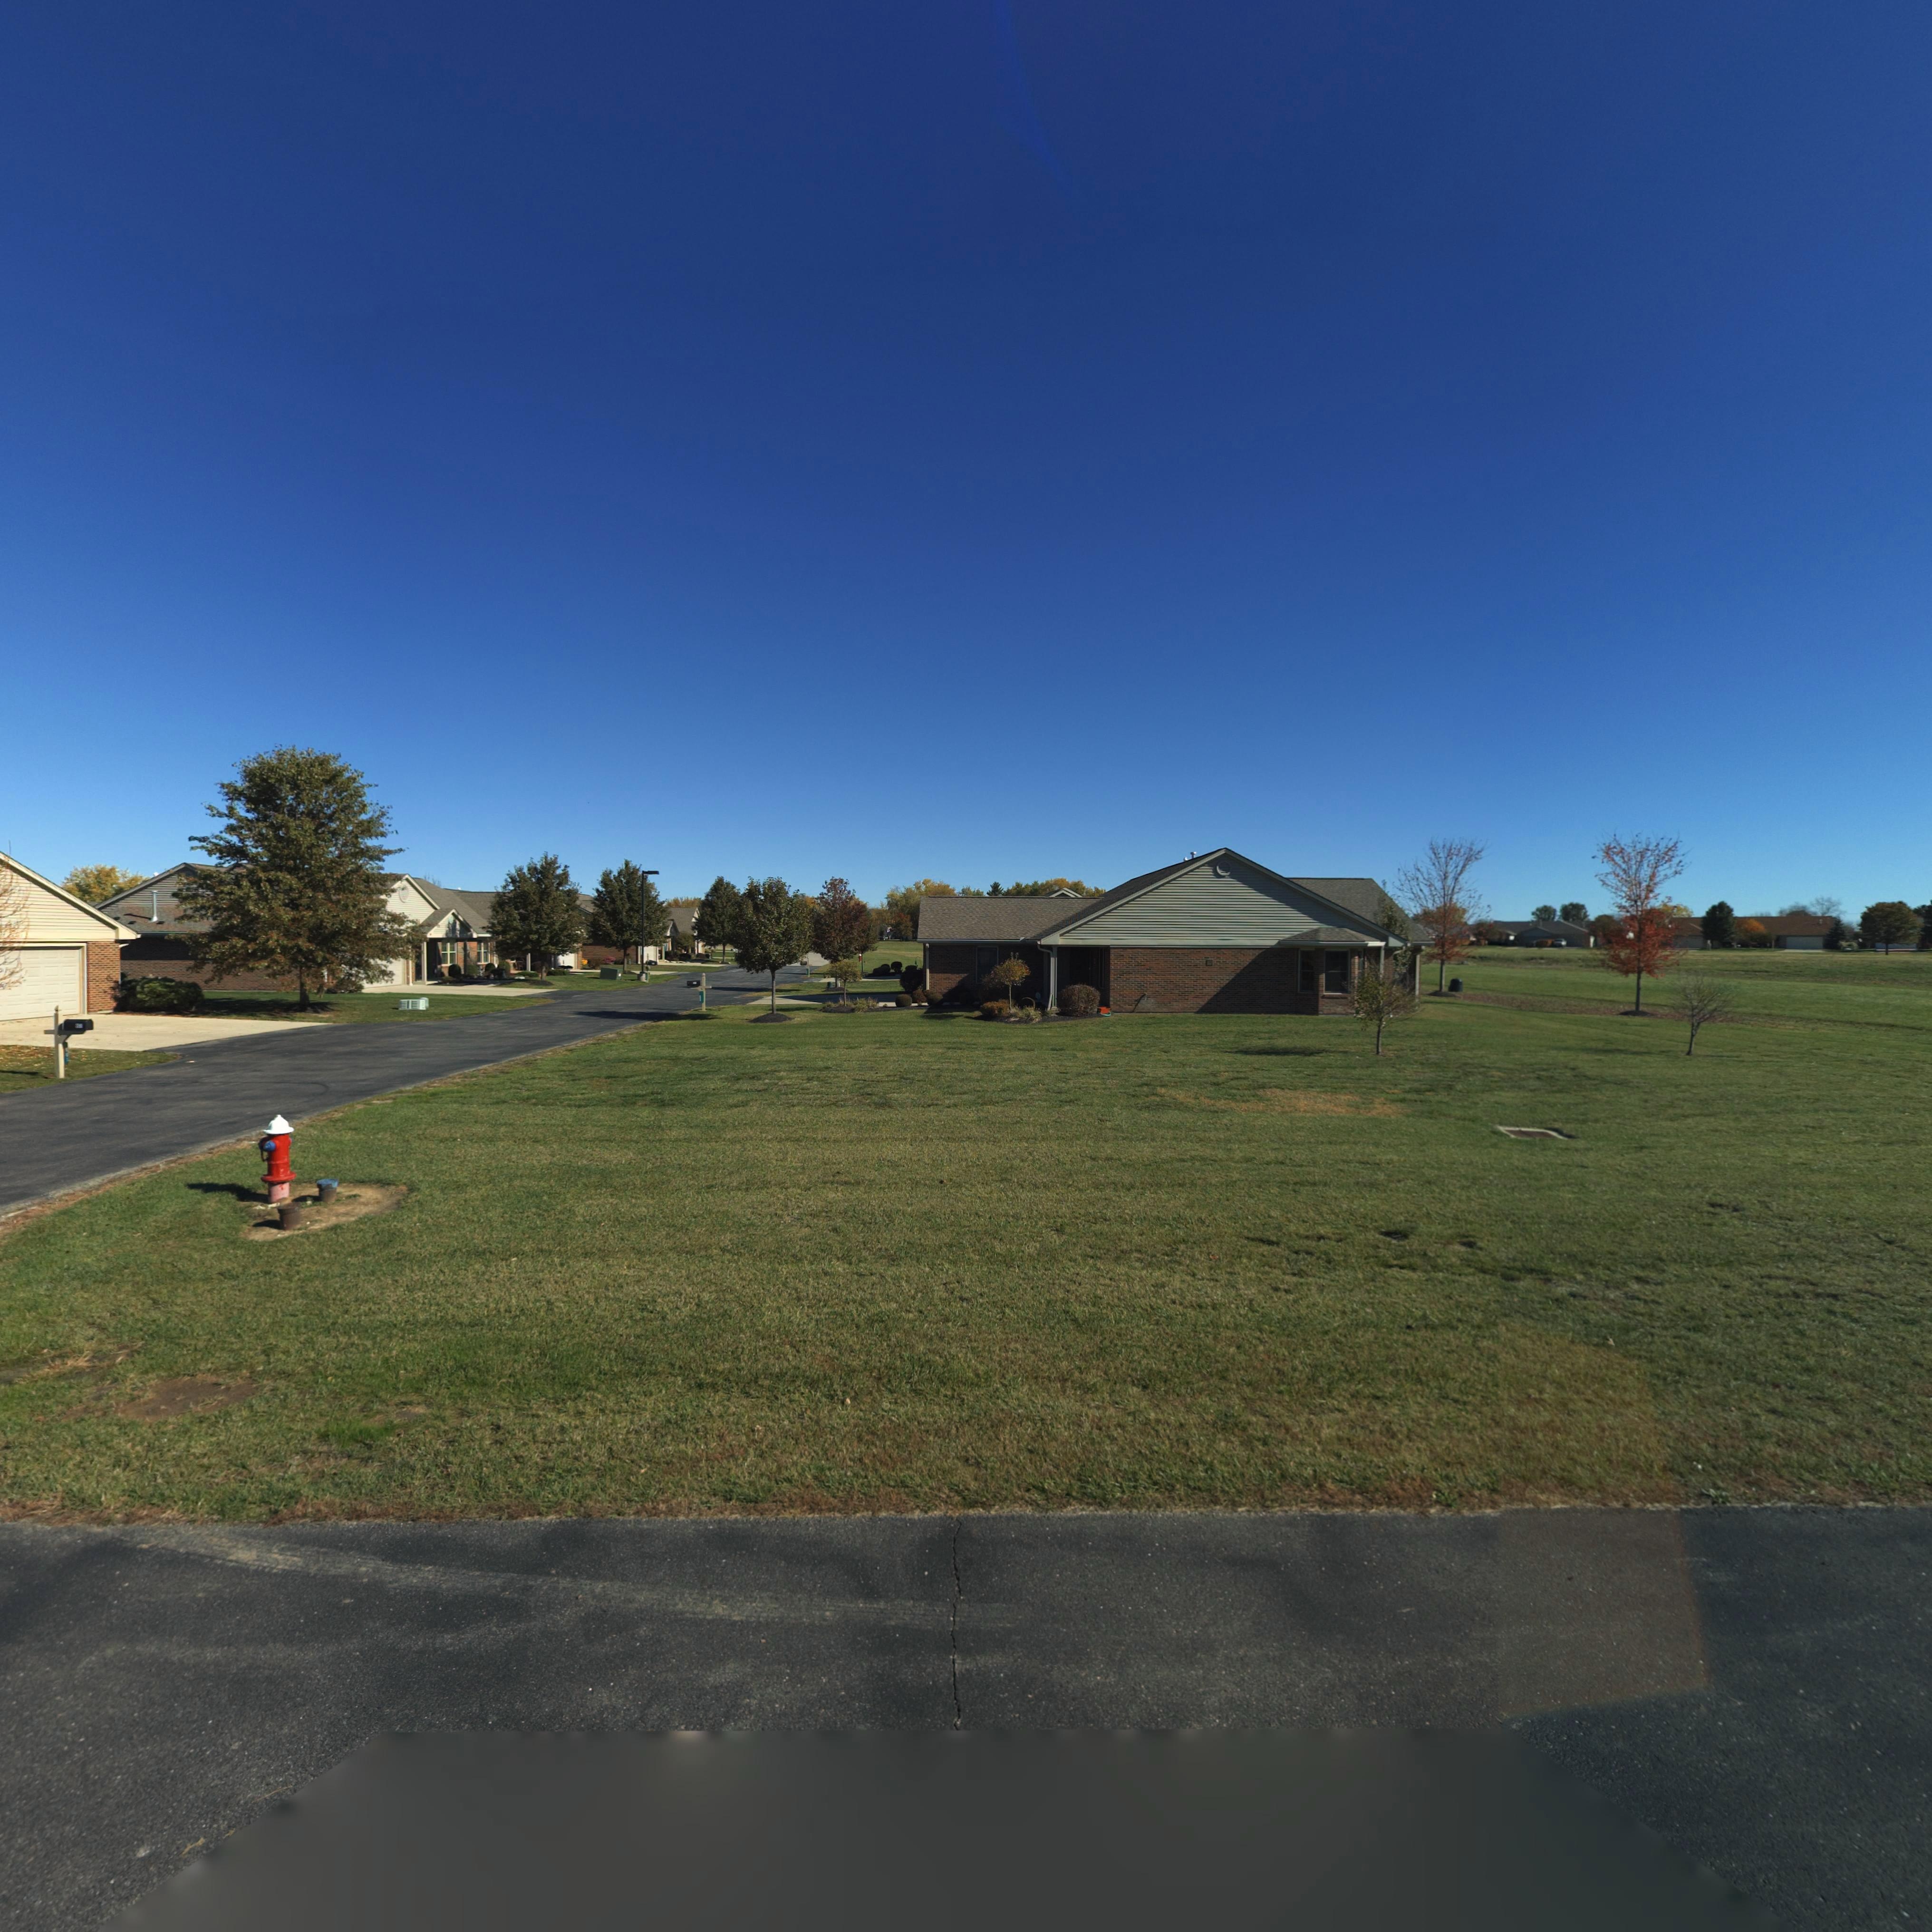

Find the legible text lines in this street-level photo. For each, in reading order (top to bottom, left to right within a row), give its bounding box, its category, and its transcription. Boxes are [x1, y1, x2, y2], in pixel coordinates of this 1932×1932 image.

[66, 1053, 69, 1057] StreetNumber: 0